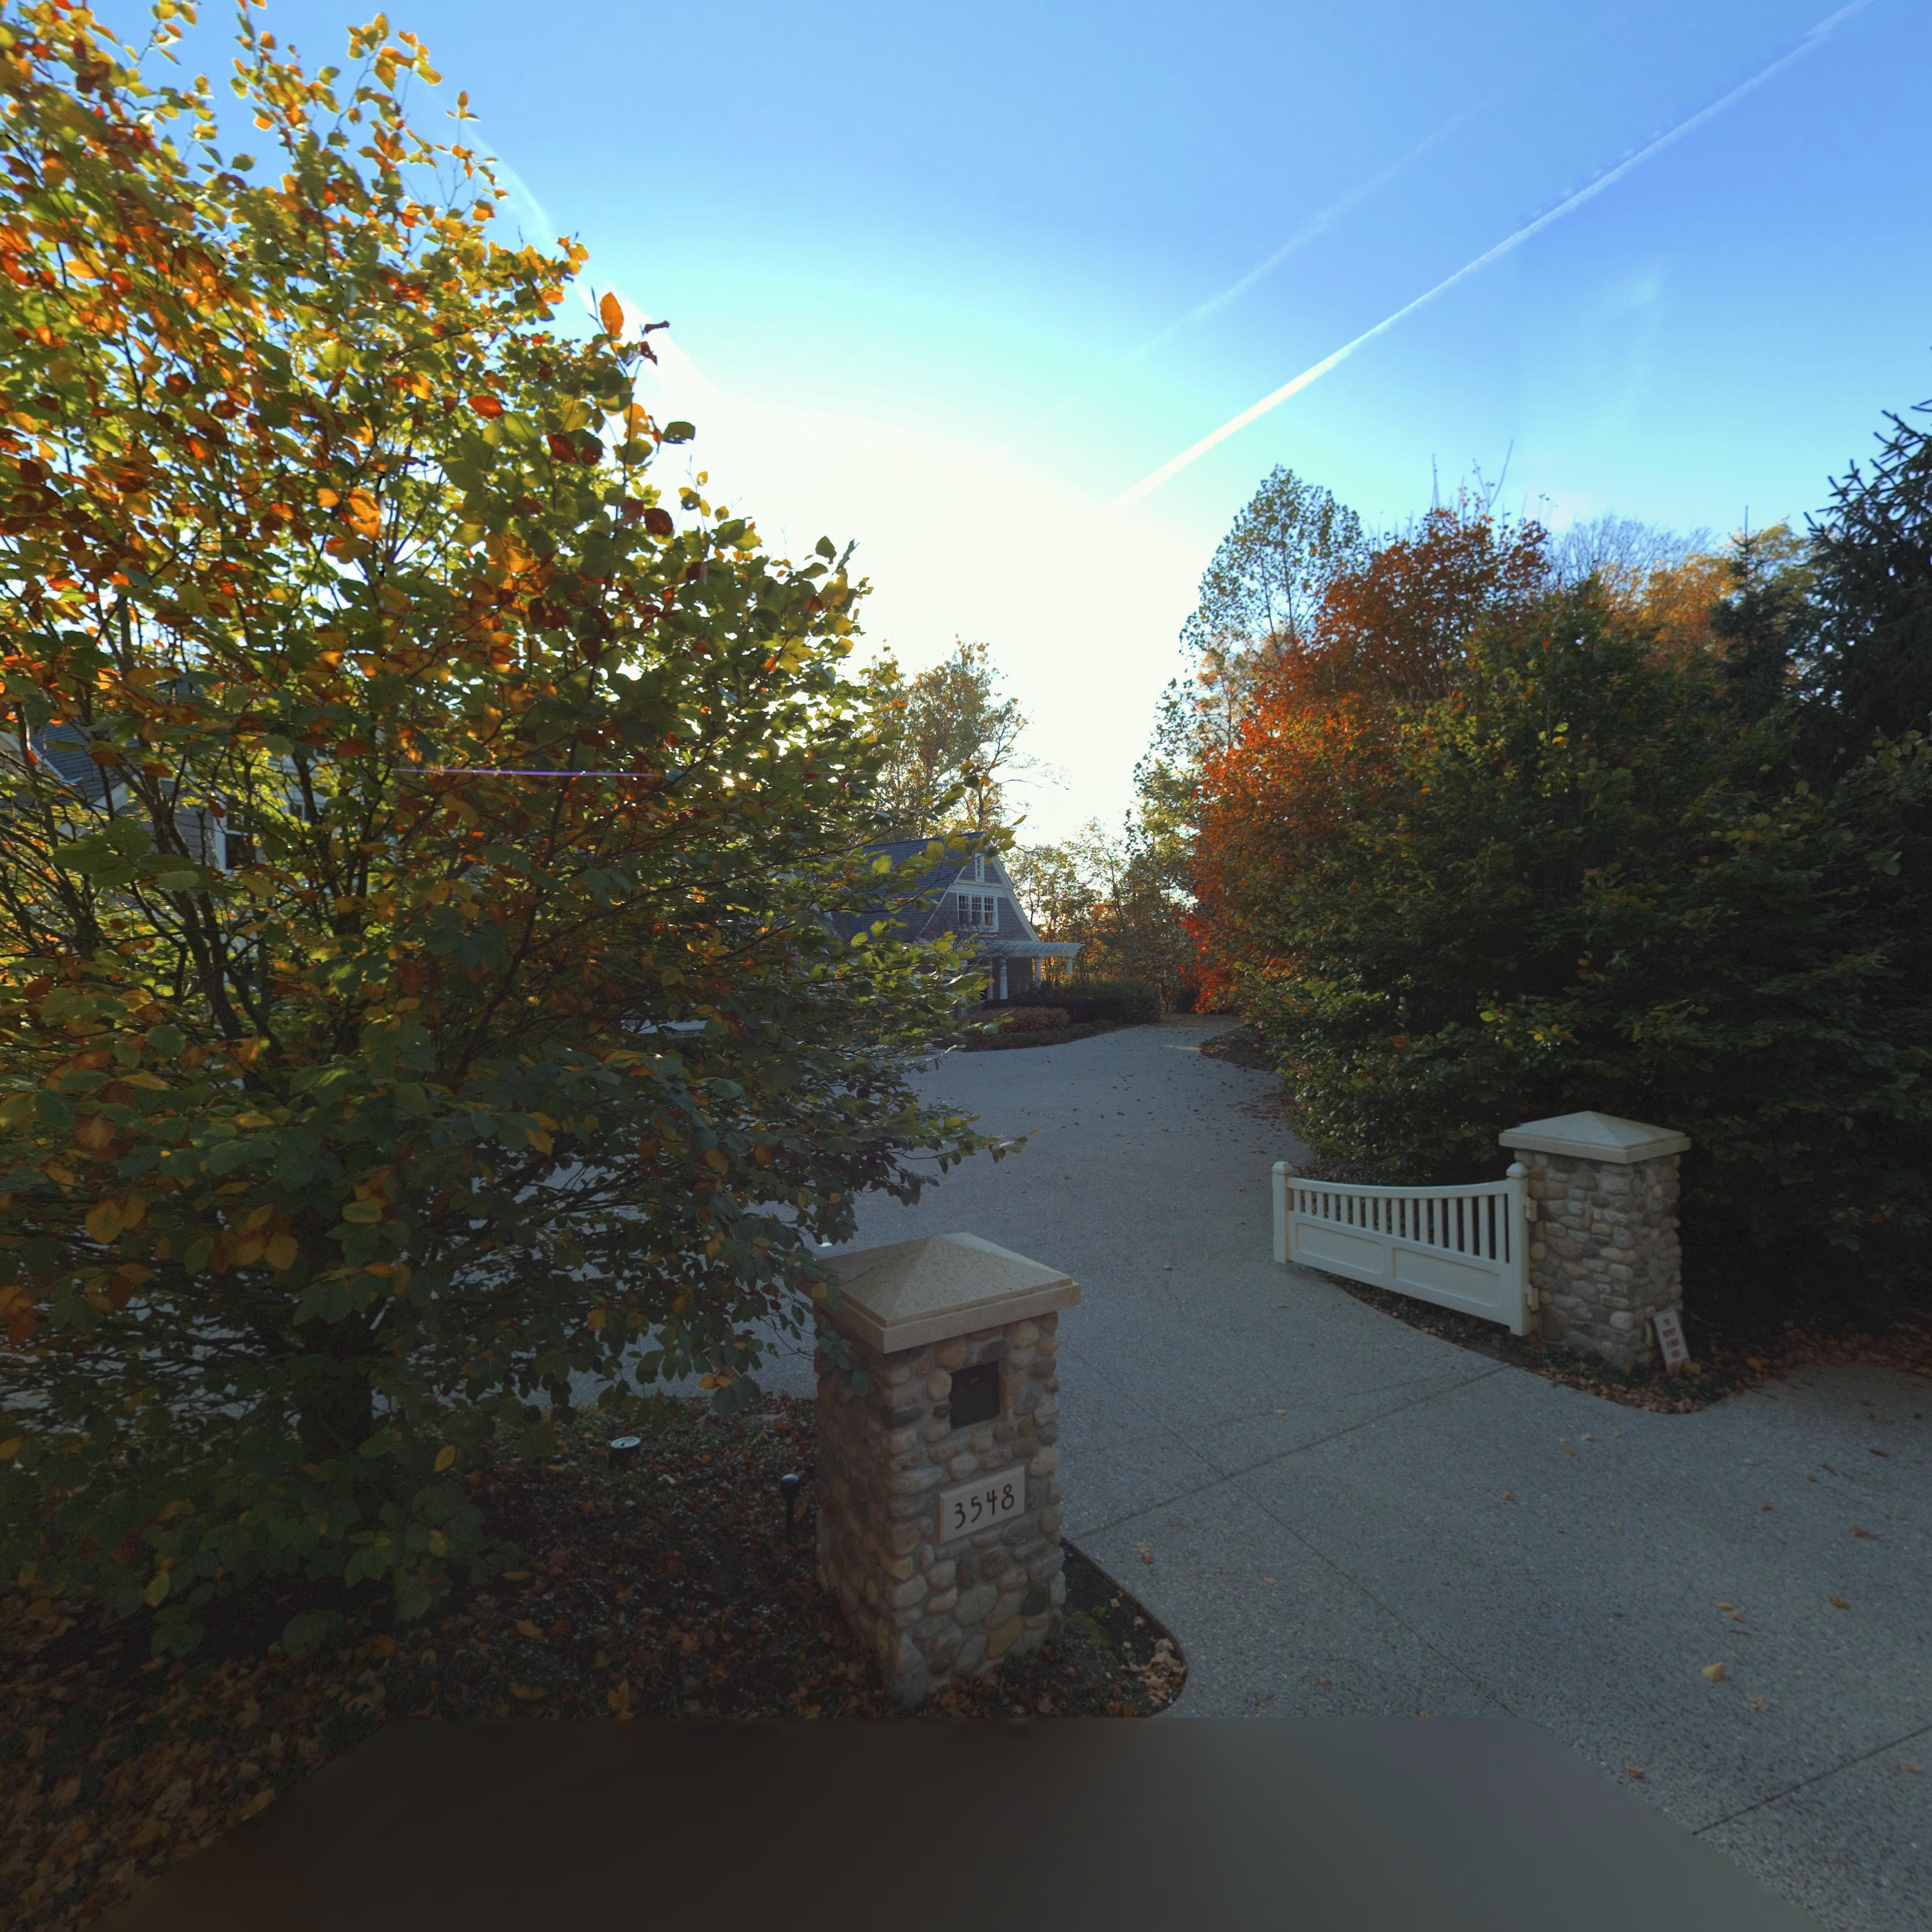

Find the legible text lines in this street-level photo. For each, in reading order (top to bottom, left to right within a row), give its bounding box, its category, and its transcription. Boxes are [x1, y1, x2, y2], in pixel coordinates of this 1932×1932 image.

[952, 1481, 1016, 1532] StreetNumber: 3548